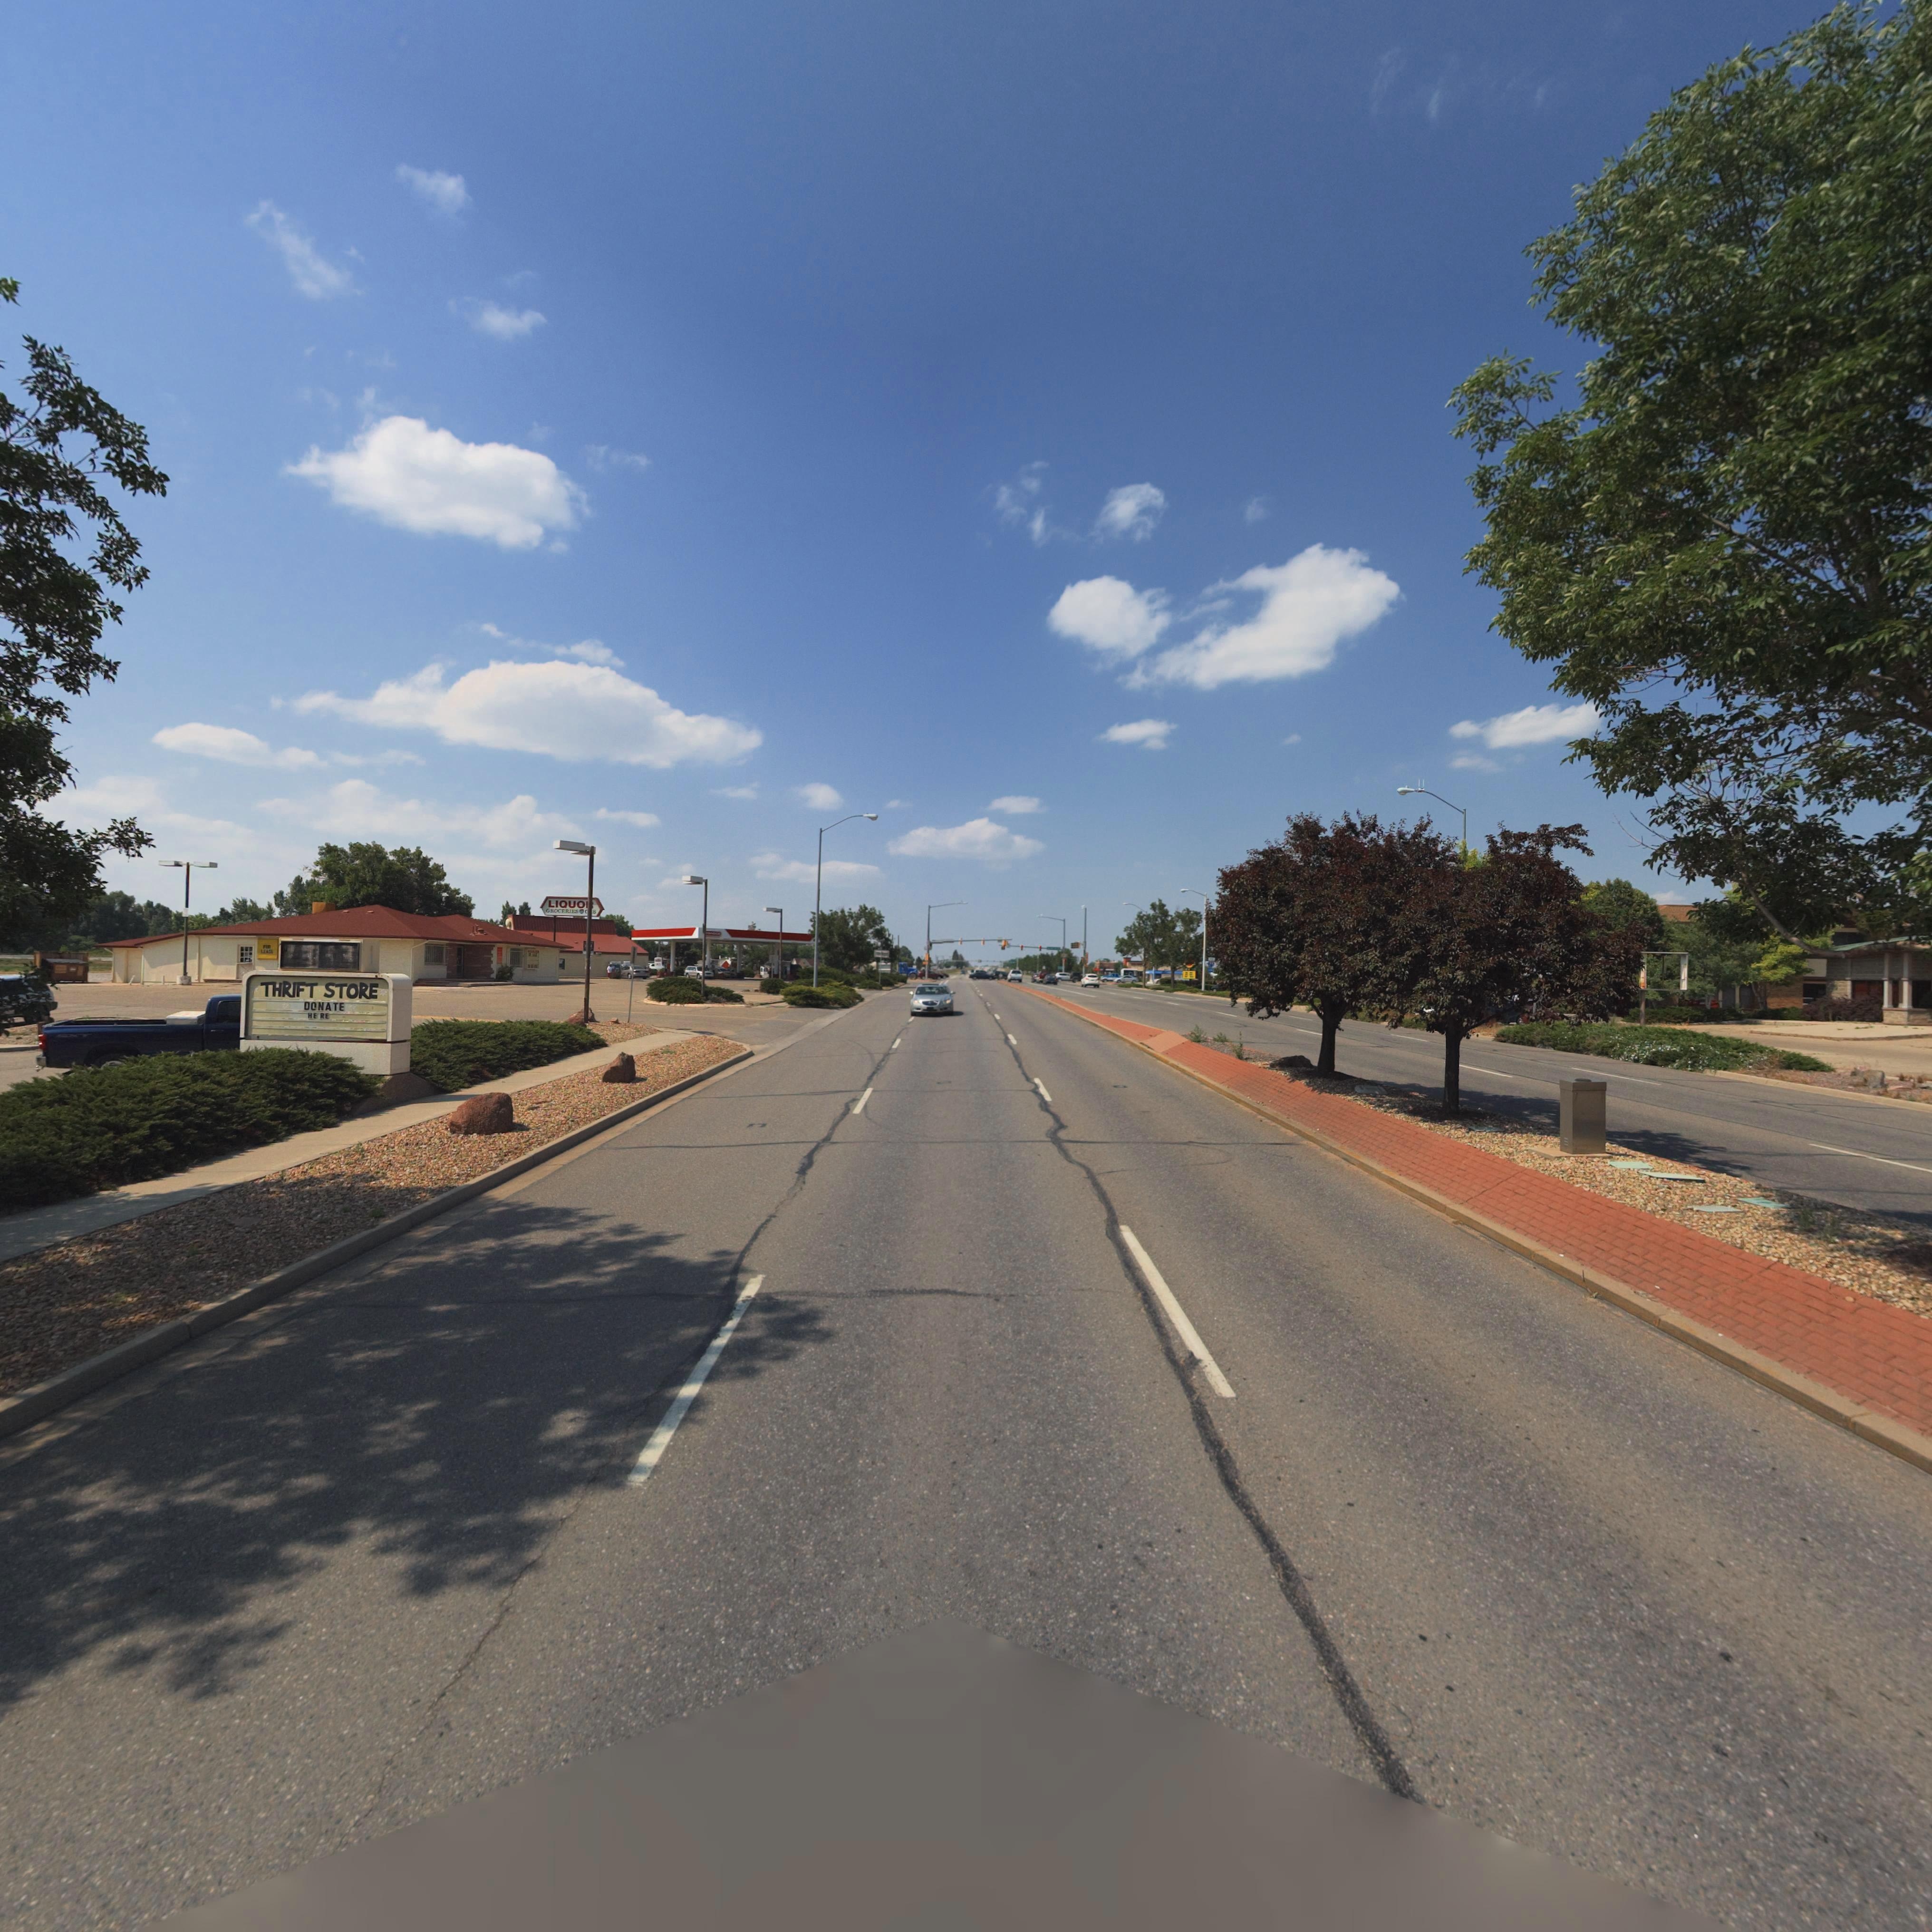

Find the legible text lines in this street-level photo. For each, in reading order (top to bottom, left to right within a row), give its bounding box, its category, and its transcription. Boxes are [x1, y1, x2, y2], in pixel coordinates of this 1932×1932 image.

[705, 932, 720, 935] BusinessName: conoco